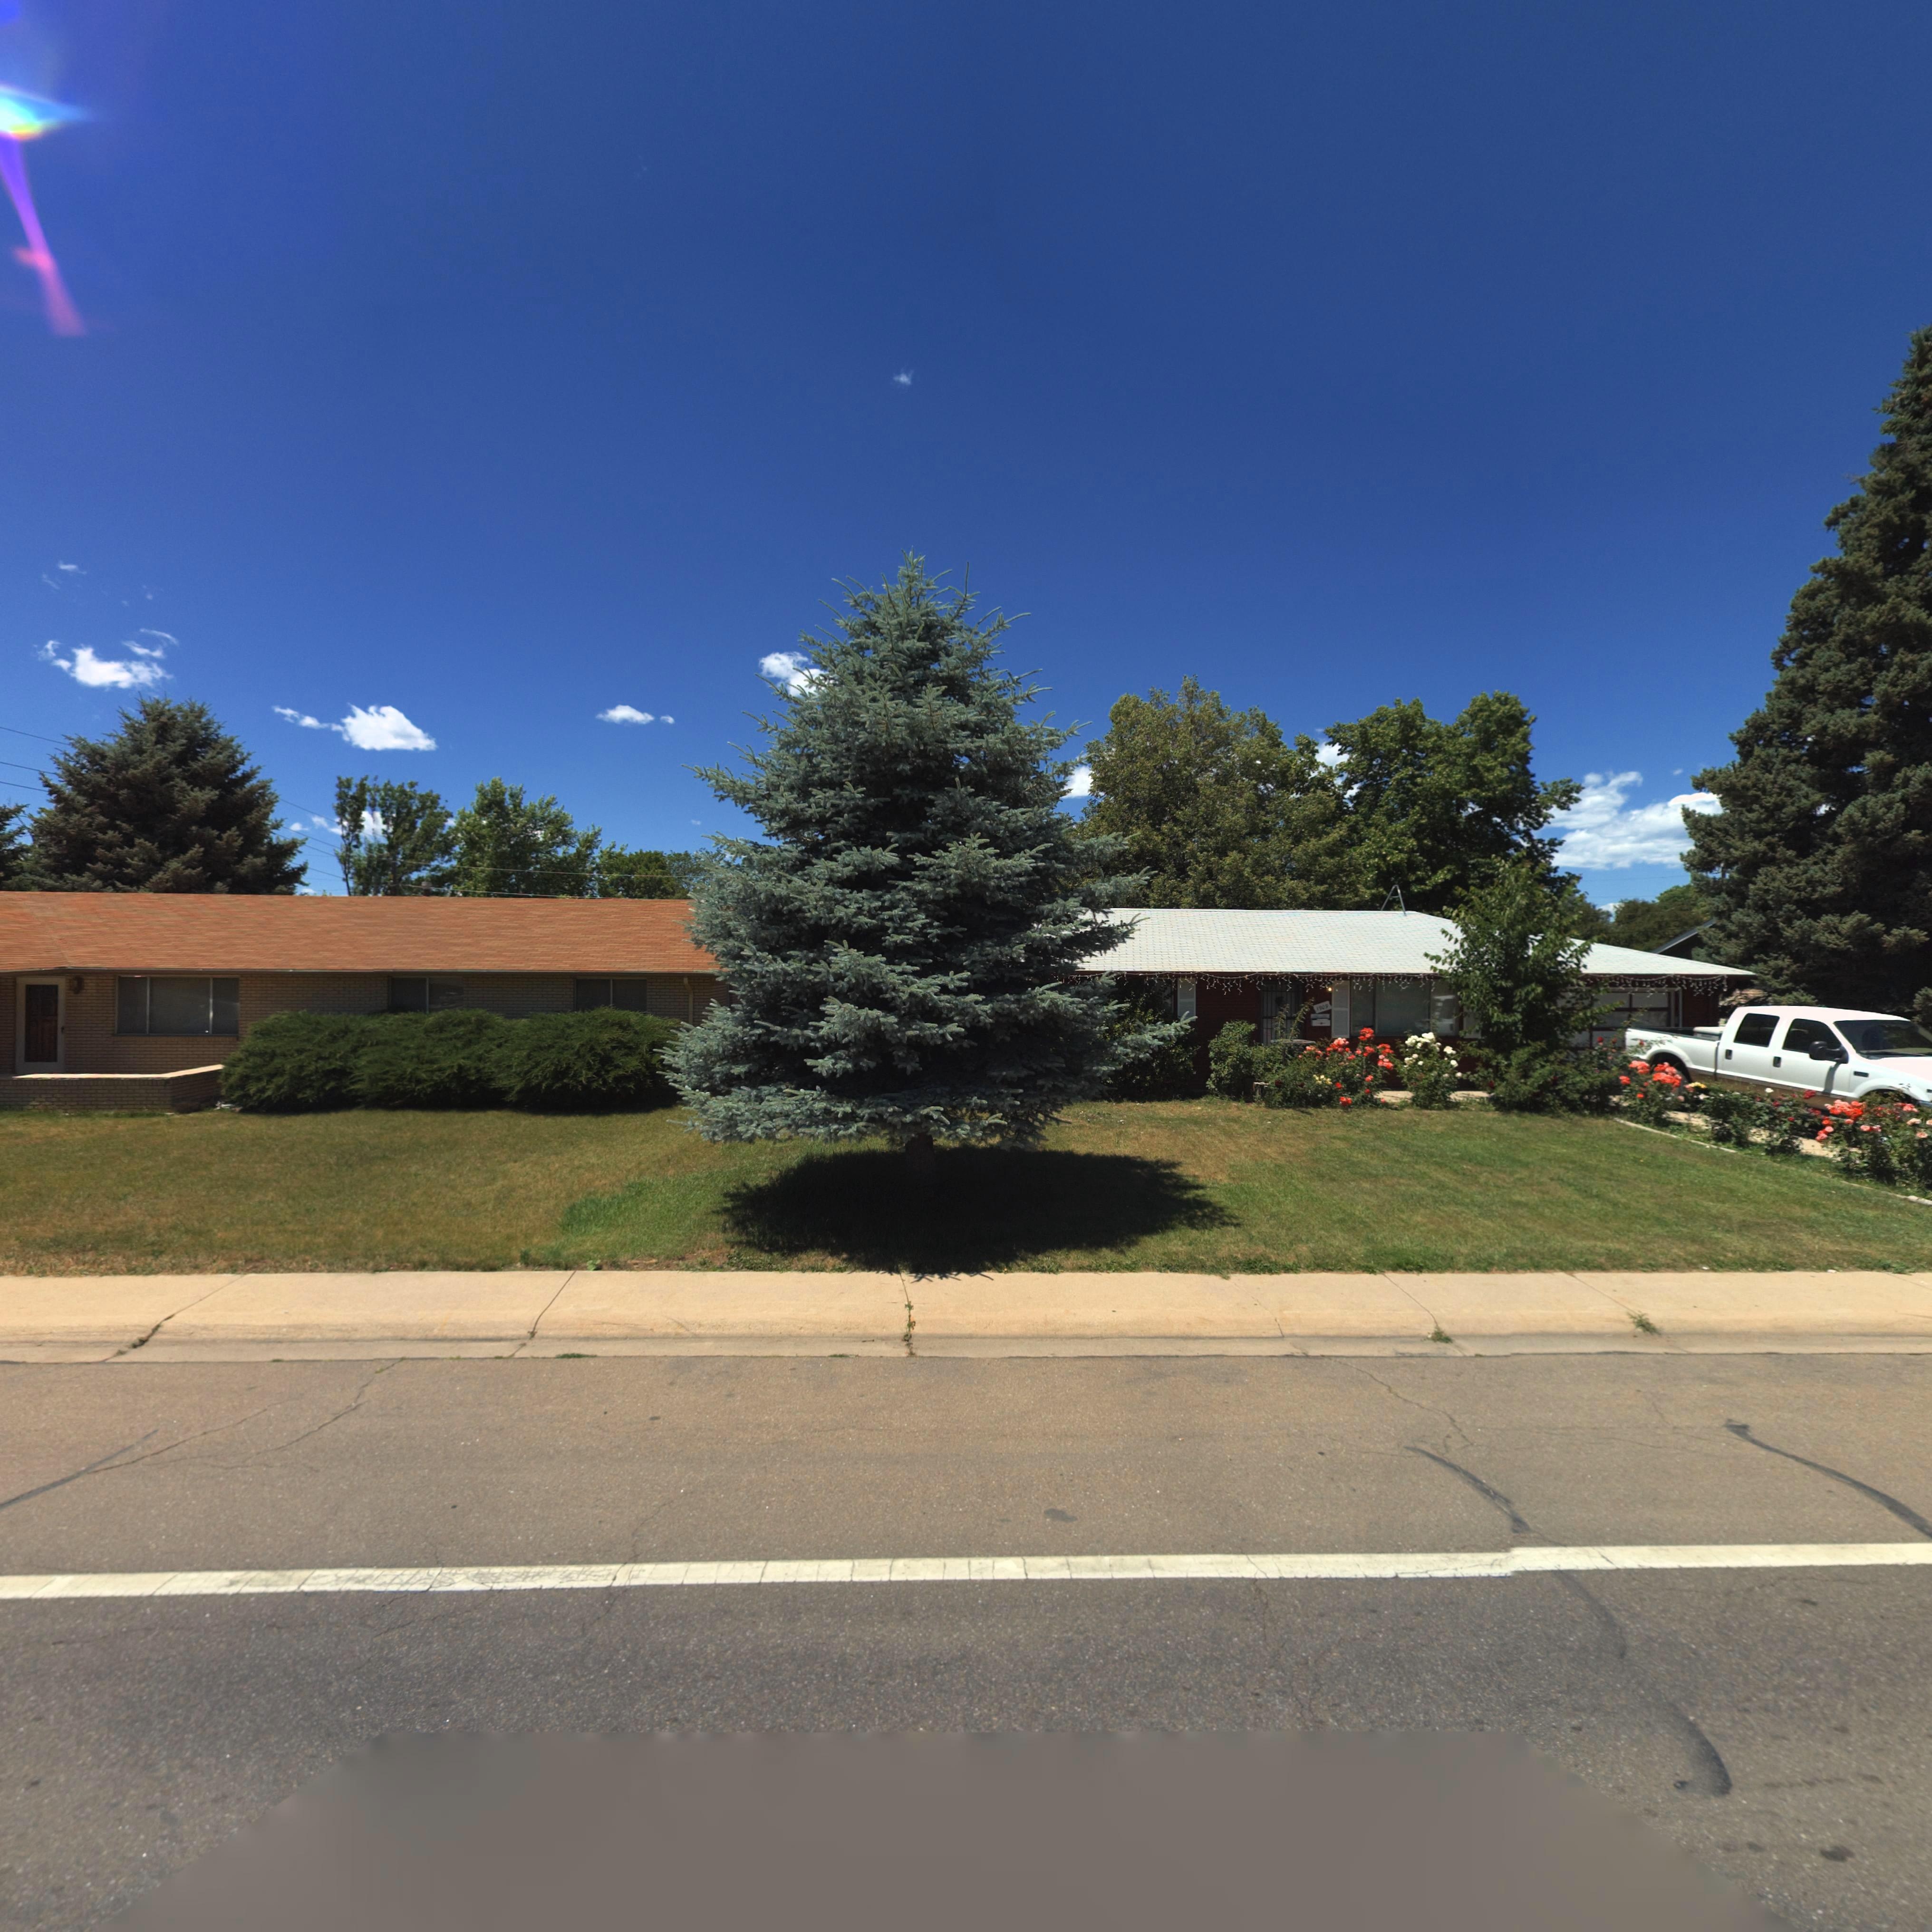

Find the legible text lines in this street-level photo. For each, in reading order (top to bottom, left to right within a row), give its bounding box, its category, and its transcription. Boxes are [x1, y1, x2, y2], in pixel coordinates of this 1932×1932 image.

[1315, 1003, 1329, 1013] StreetNumber: 1909